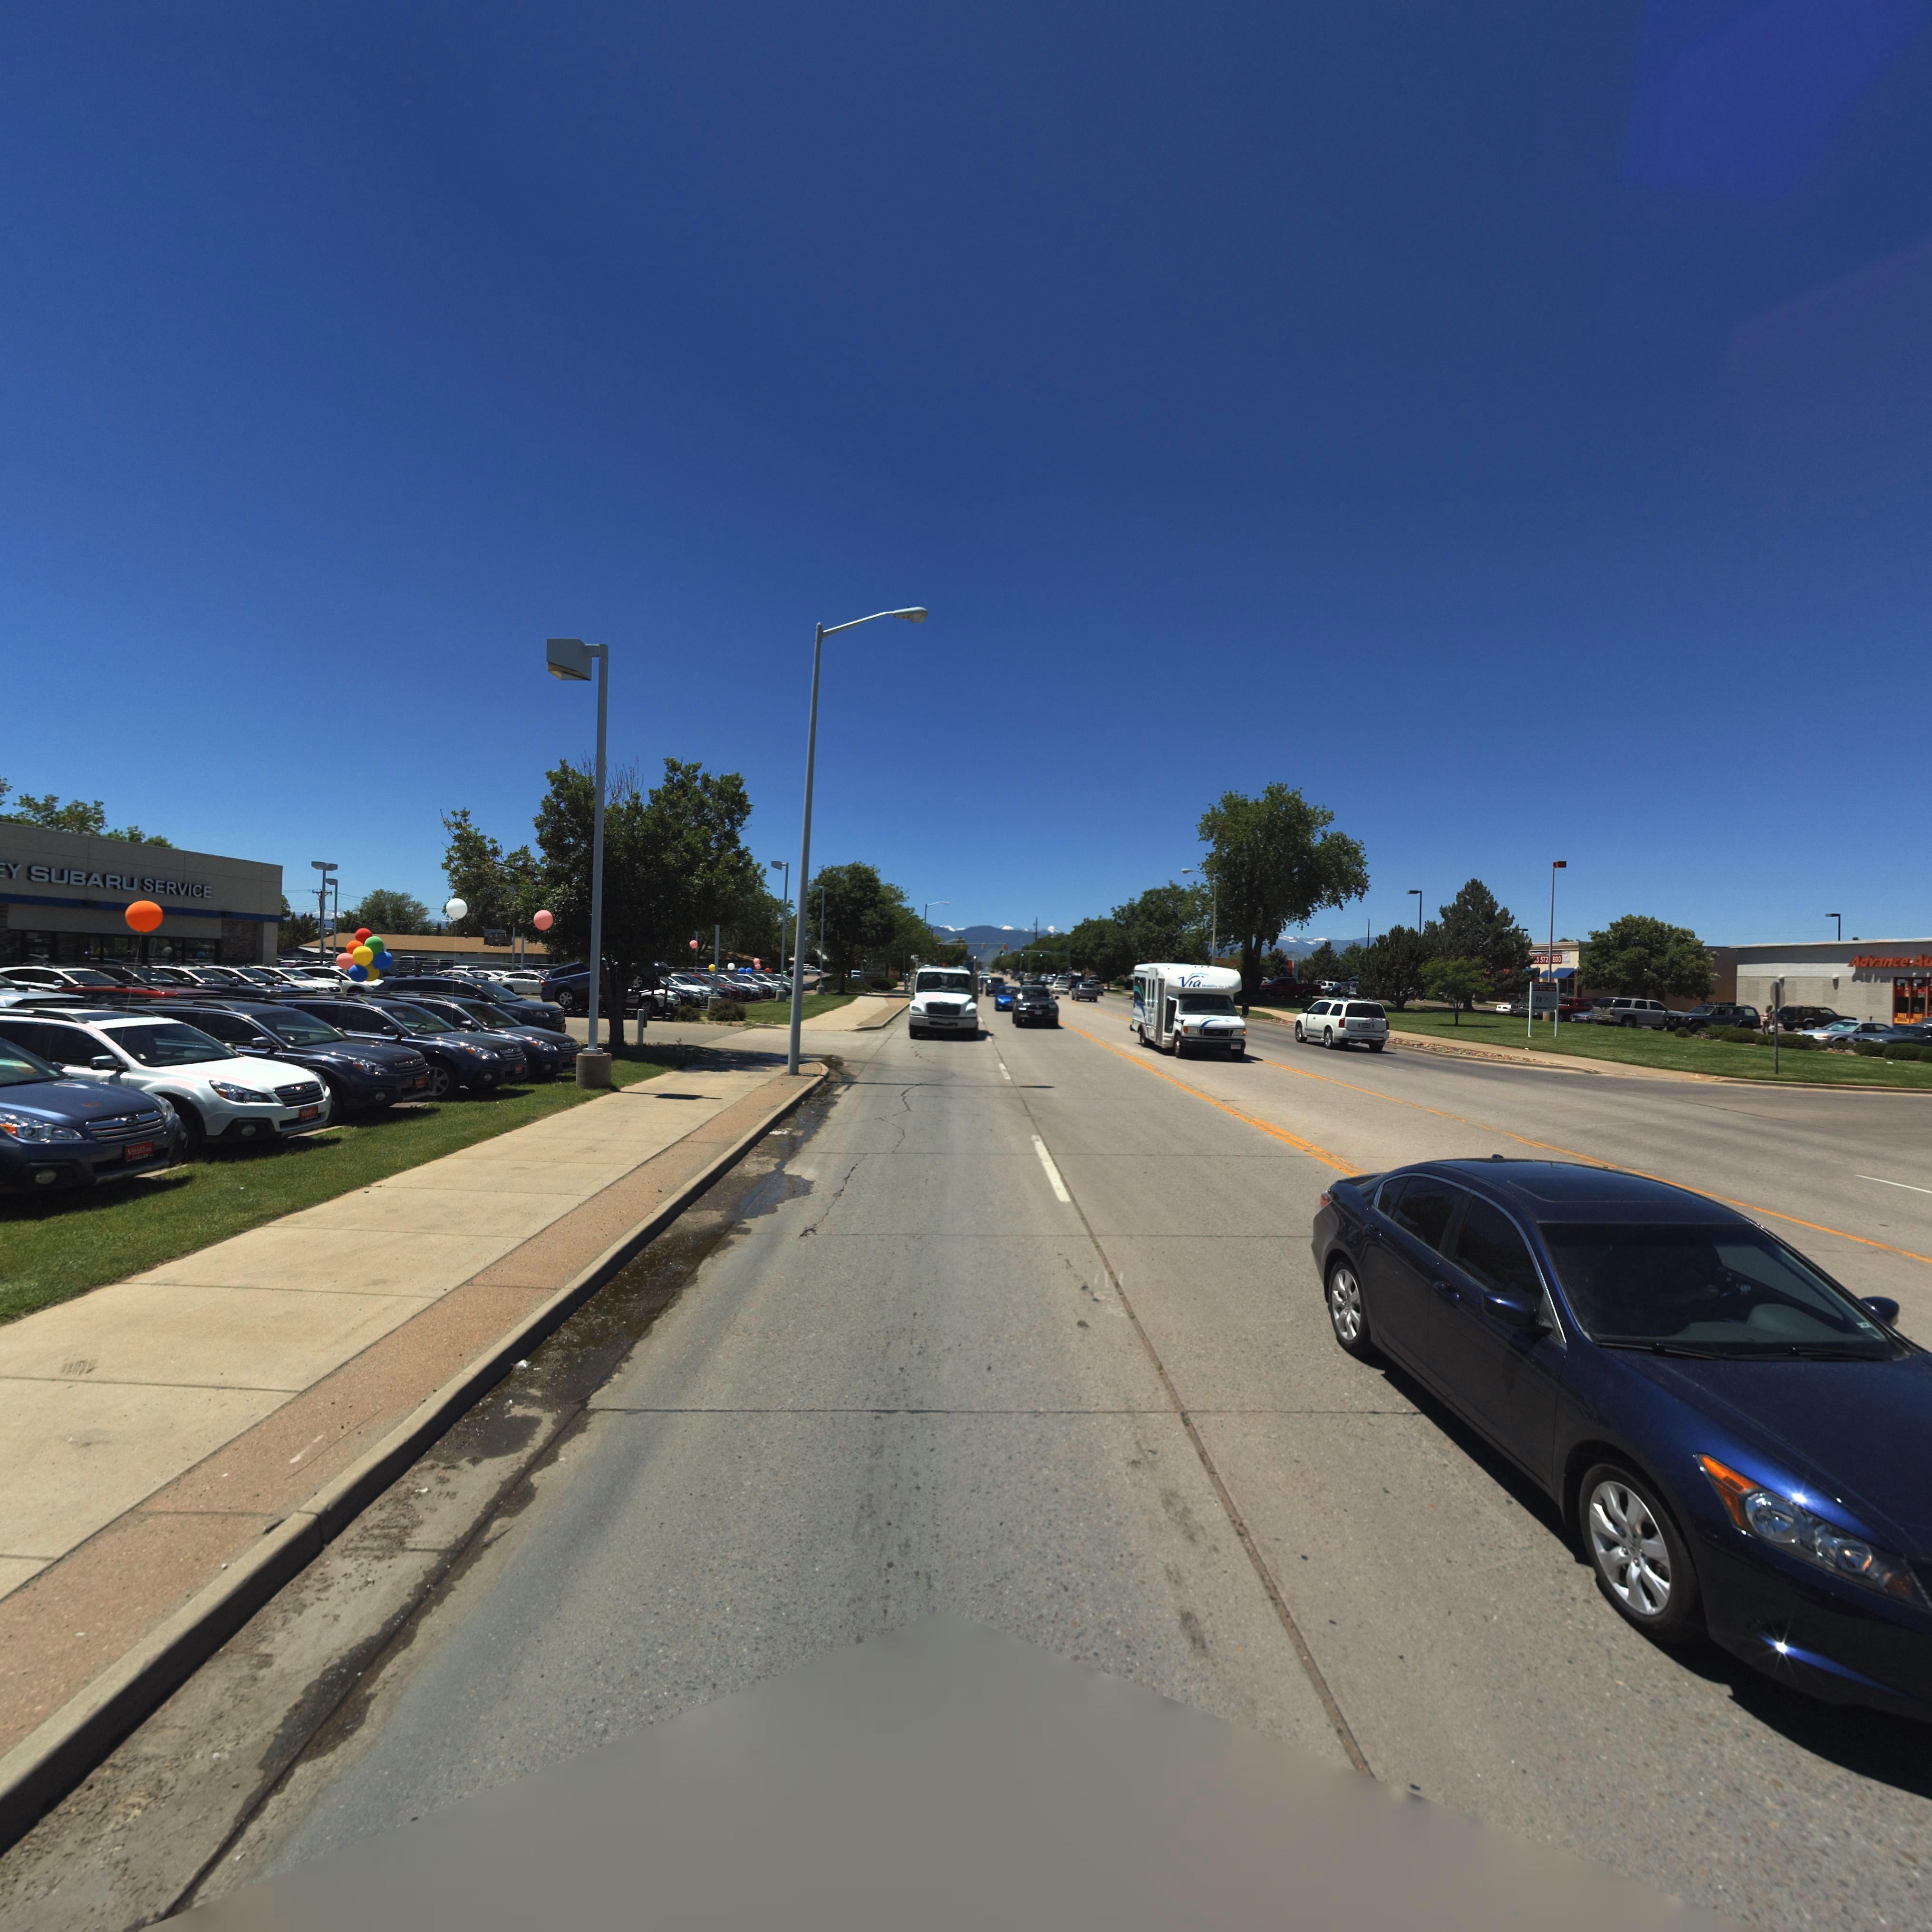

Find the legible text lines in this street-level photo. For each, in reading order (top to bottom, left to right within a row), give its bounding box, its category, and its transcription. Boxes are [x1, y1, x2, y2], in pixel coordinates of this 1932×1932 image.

[6, 862, 213, 899] StreetNumber: Y SUBARU SERVICE
[1846, 954, 1924, 967] BusinessName: Advance A
[861, 963, 870, 972] BusinessName: V